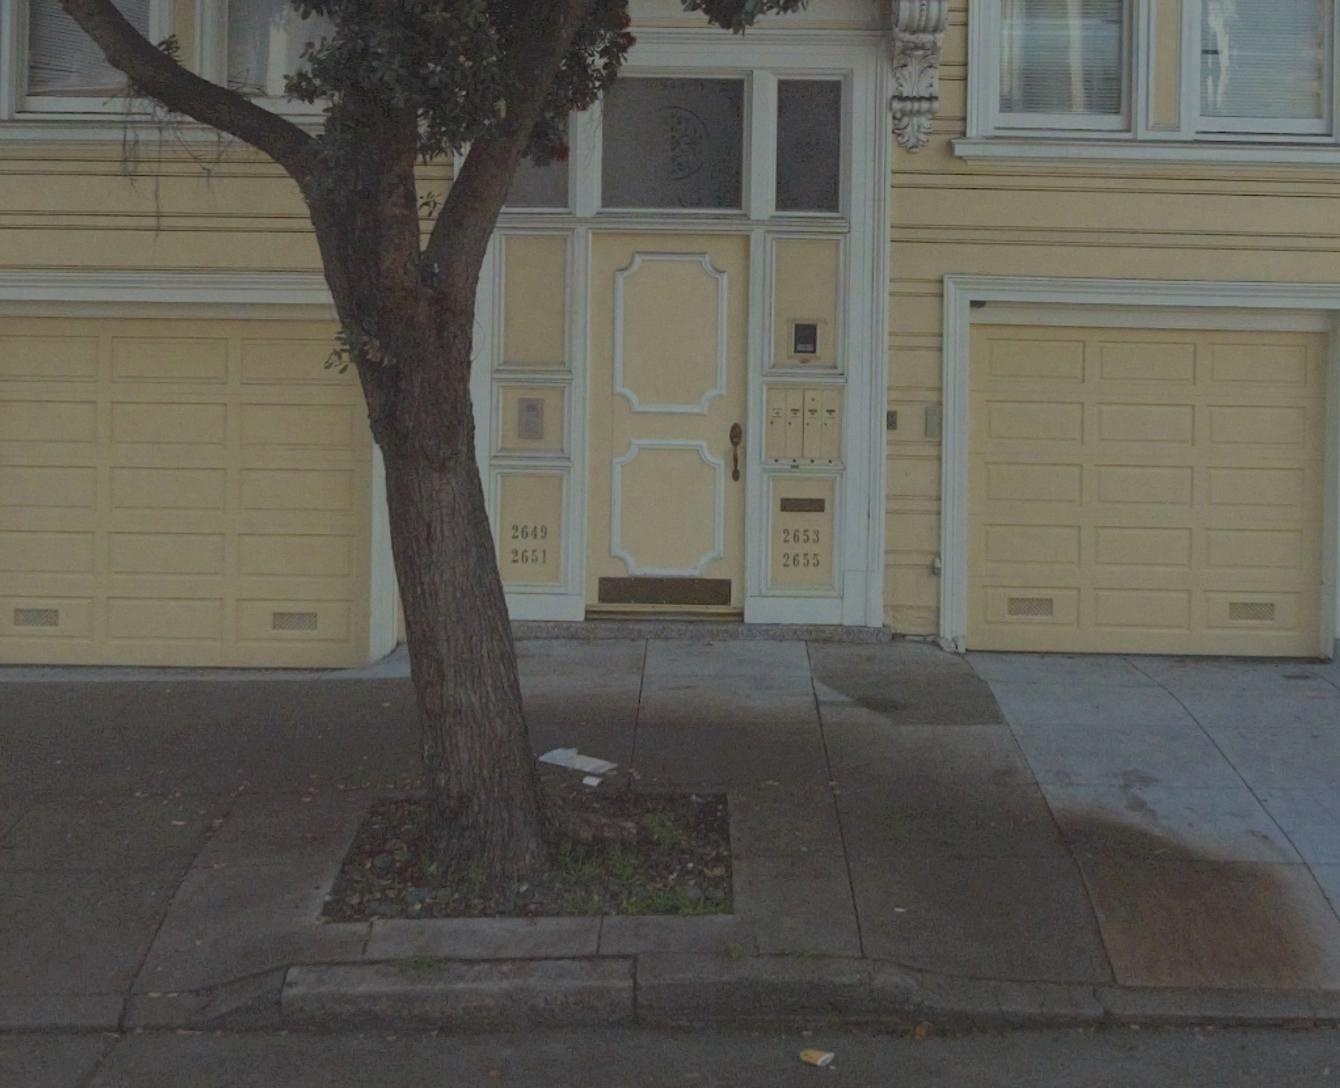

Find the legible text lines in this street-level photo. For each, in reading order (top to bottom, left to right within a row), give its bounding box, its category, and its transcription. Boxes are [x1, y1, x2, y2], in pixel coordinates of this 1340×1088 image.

[509, 522, 549, 541] StreetNumber: 2649
[781, 527, 821, 545] StreetNumber: 2635
[508, 546, 550, 566] StreetNumber: 2651
[780, 550, 822, 570] StreetNumber: 2655